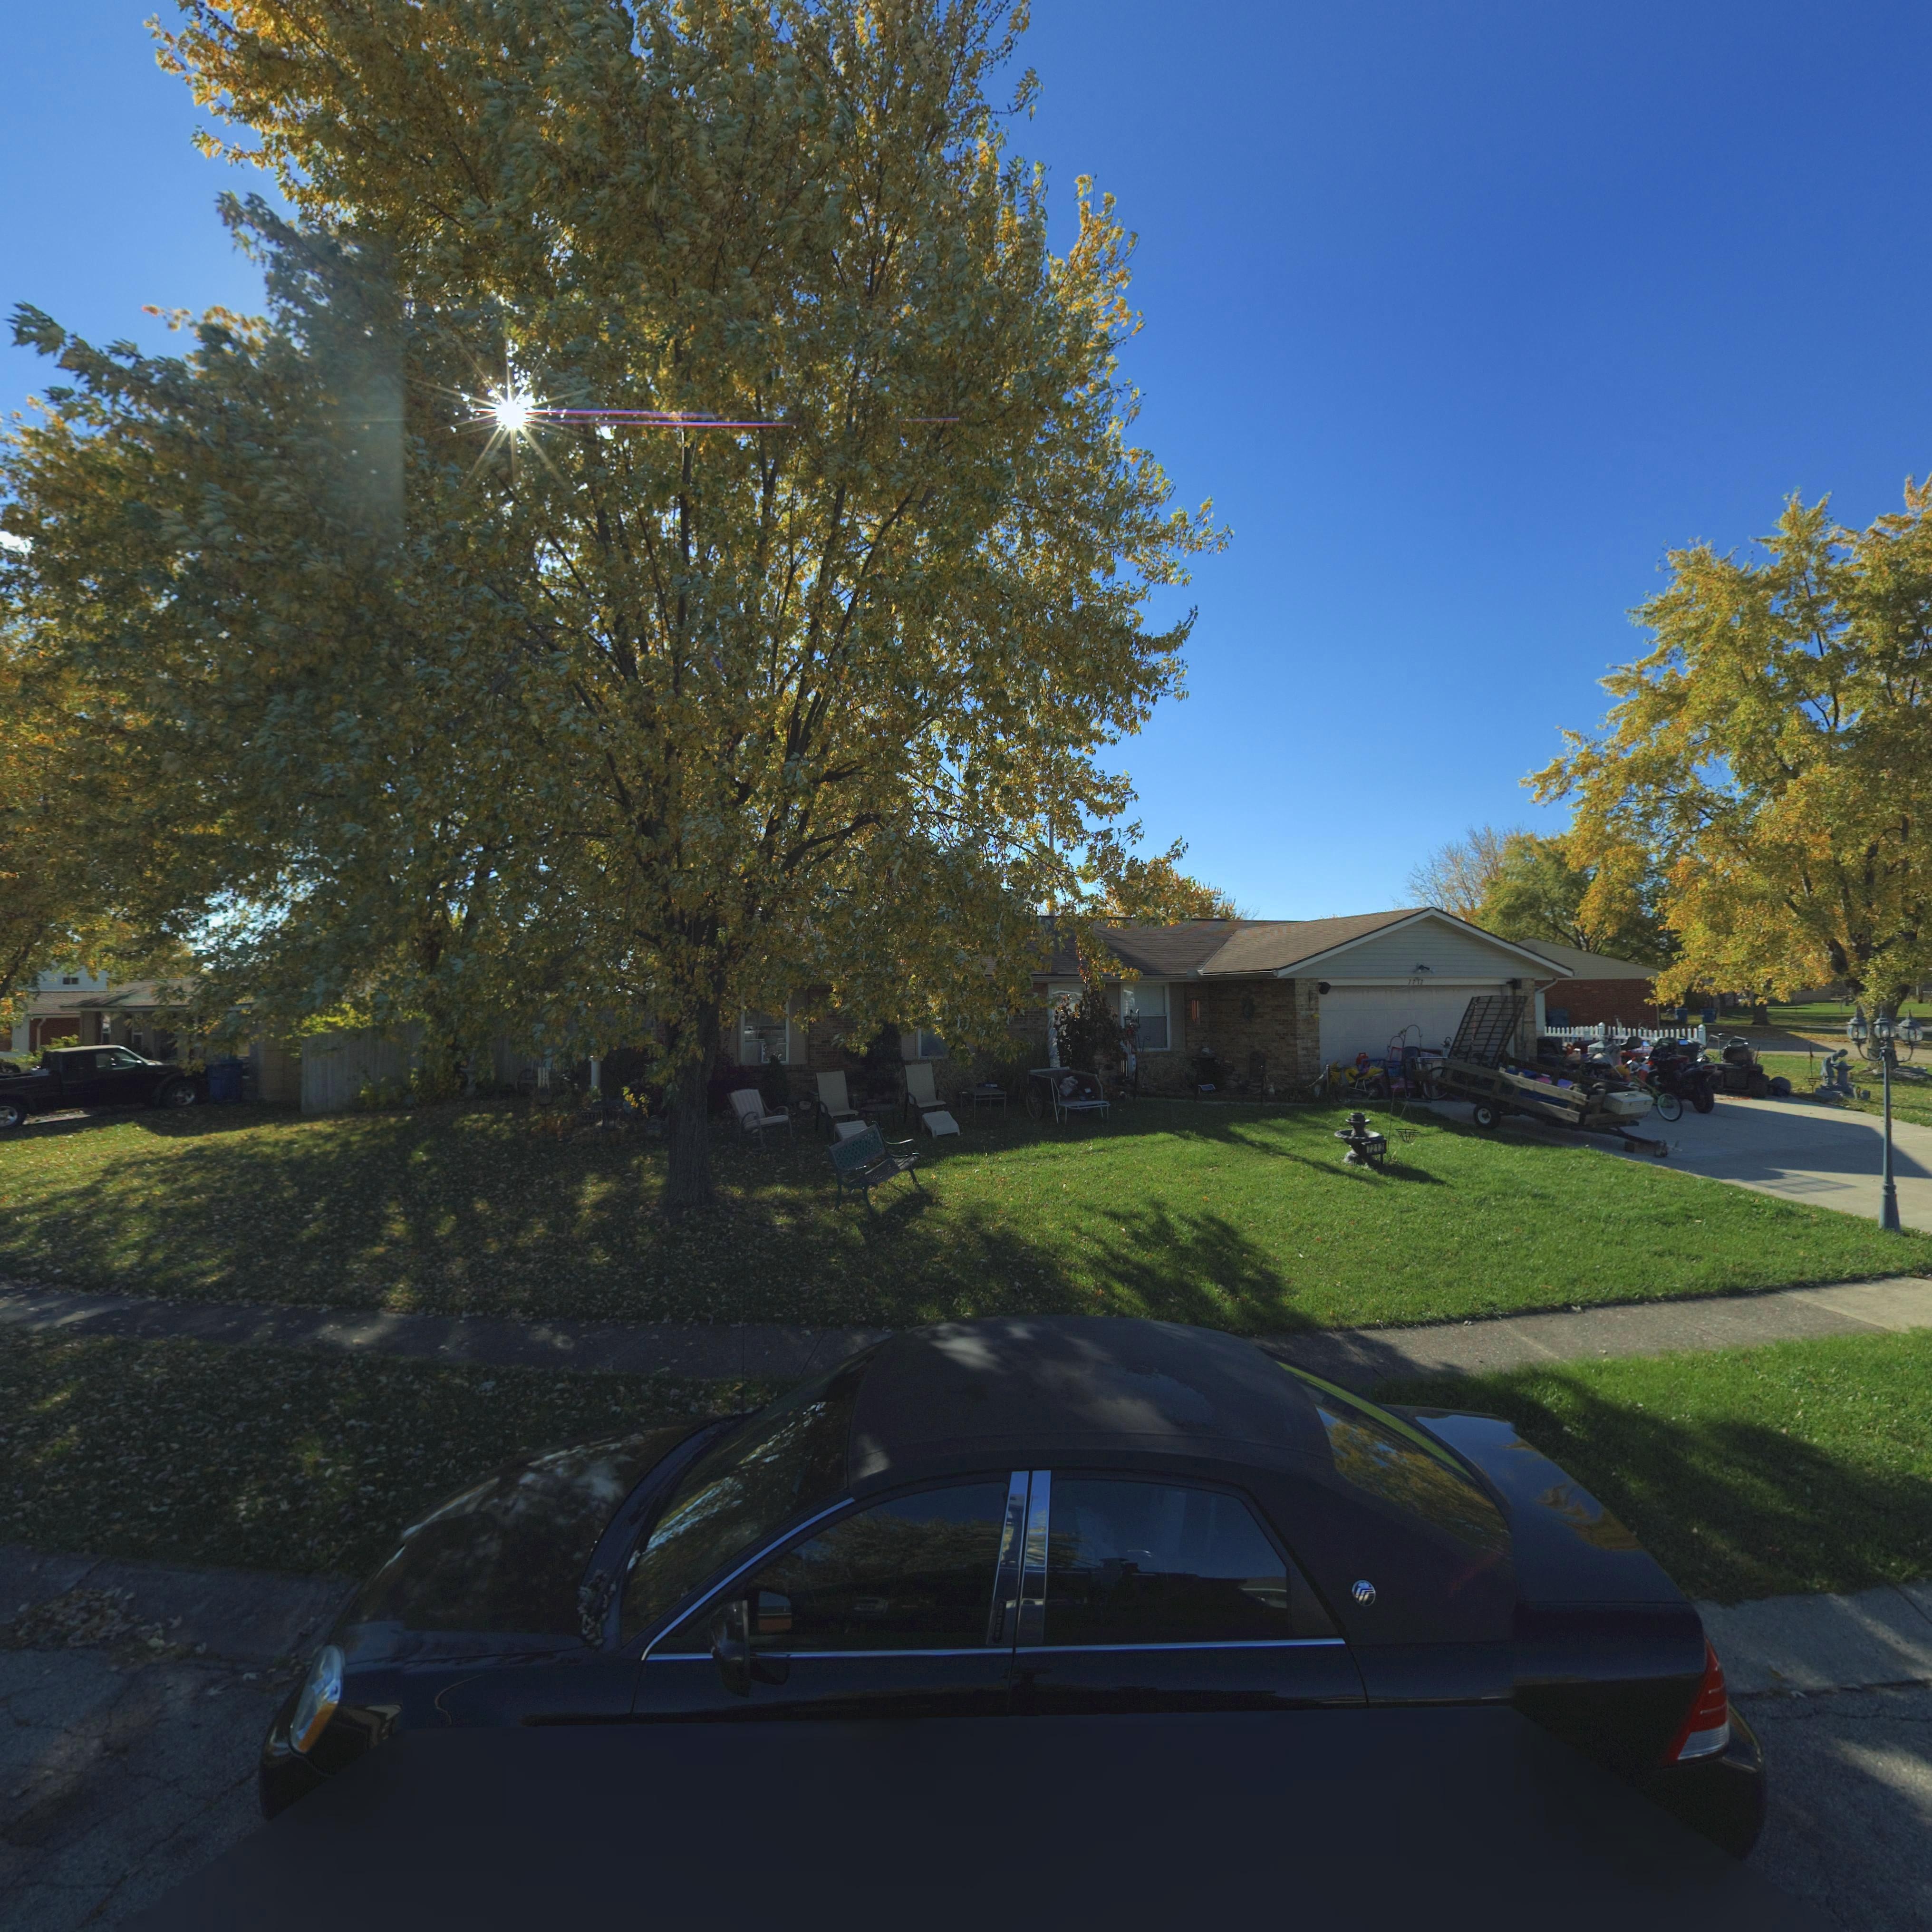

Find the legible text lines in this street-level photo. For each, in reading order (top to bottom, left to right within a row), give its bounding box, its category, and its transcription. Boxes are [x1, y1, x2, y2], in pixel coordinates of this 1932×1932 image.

[1407, 978, 1424, 986] StreetNumber: **1*
[581, 1112, 598, 1121] StreetNumber: 7***
[1367, 1141, 1385, 1154] StreetNumber: 7212